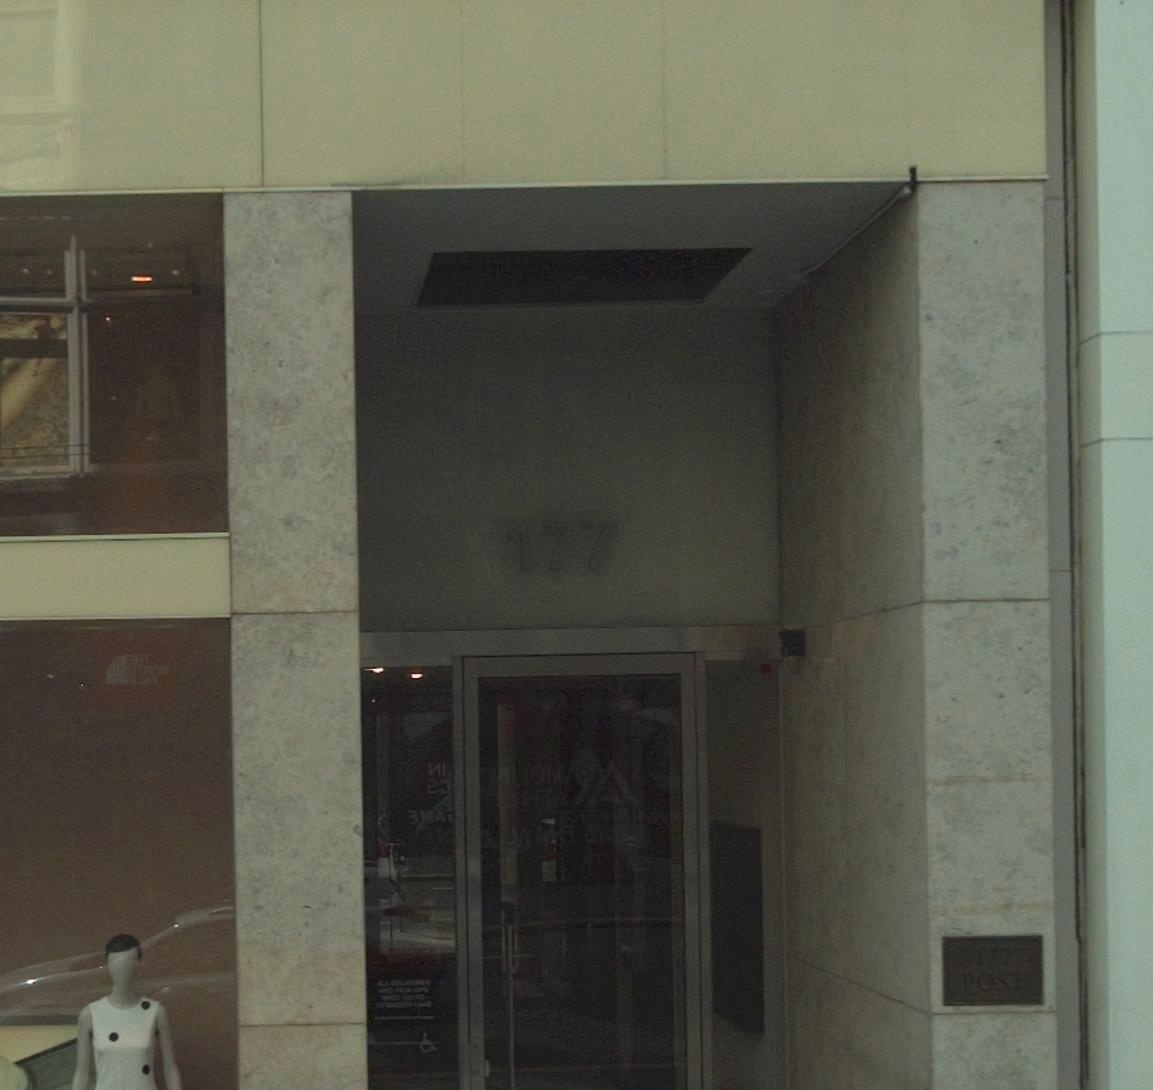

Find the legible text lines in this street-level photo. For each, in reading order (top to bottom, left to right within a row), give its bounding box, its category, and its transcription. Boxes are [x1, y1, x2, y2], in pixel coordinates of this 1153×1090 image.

[513, 517, 621, 579] StreetNumber: 177
[126, 651, 153, 668] BusinessName: *HT
[124, 662, 173, 679] BusinessName: HT*O*
[423, 759, 453, 782] None: NL
[506, 761, 549, 790] None: UO
[518, 787, 544, 811] None: H
[415, 807, 451, 826] None: MA
[971, 944, 1017, 972] None: 1*7
[958, 968, 1028, 996] None: POST